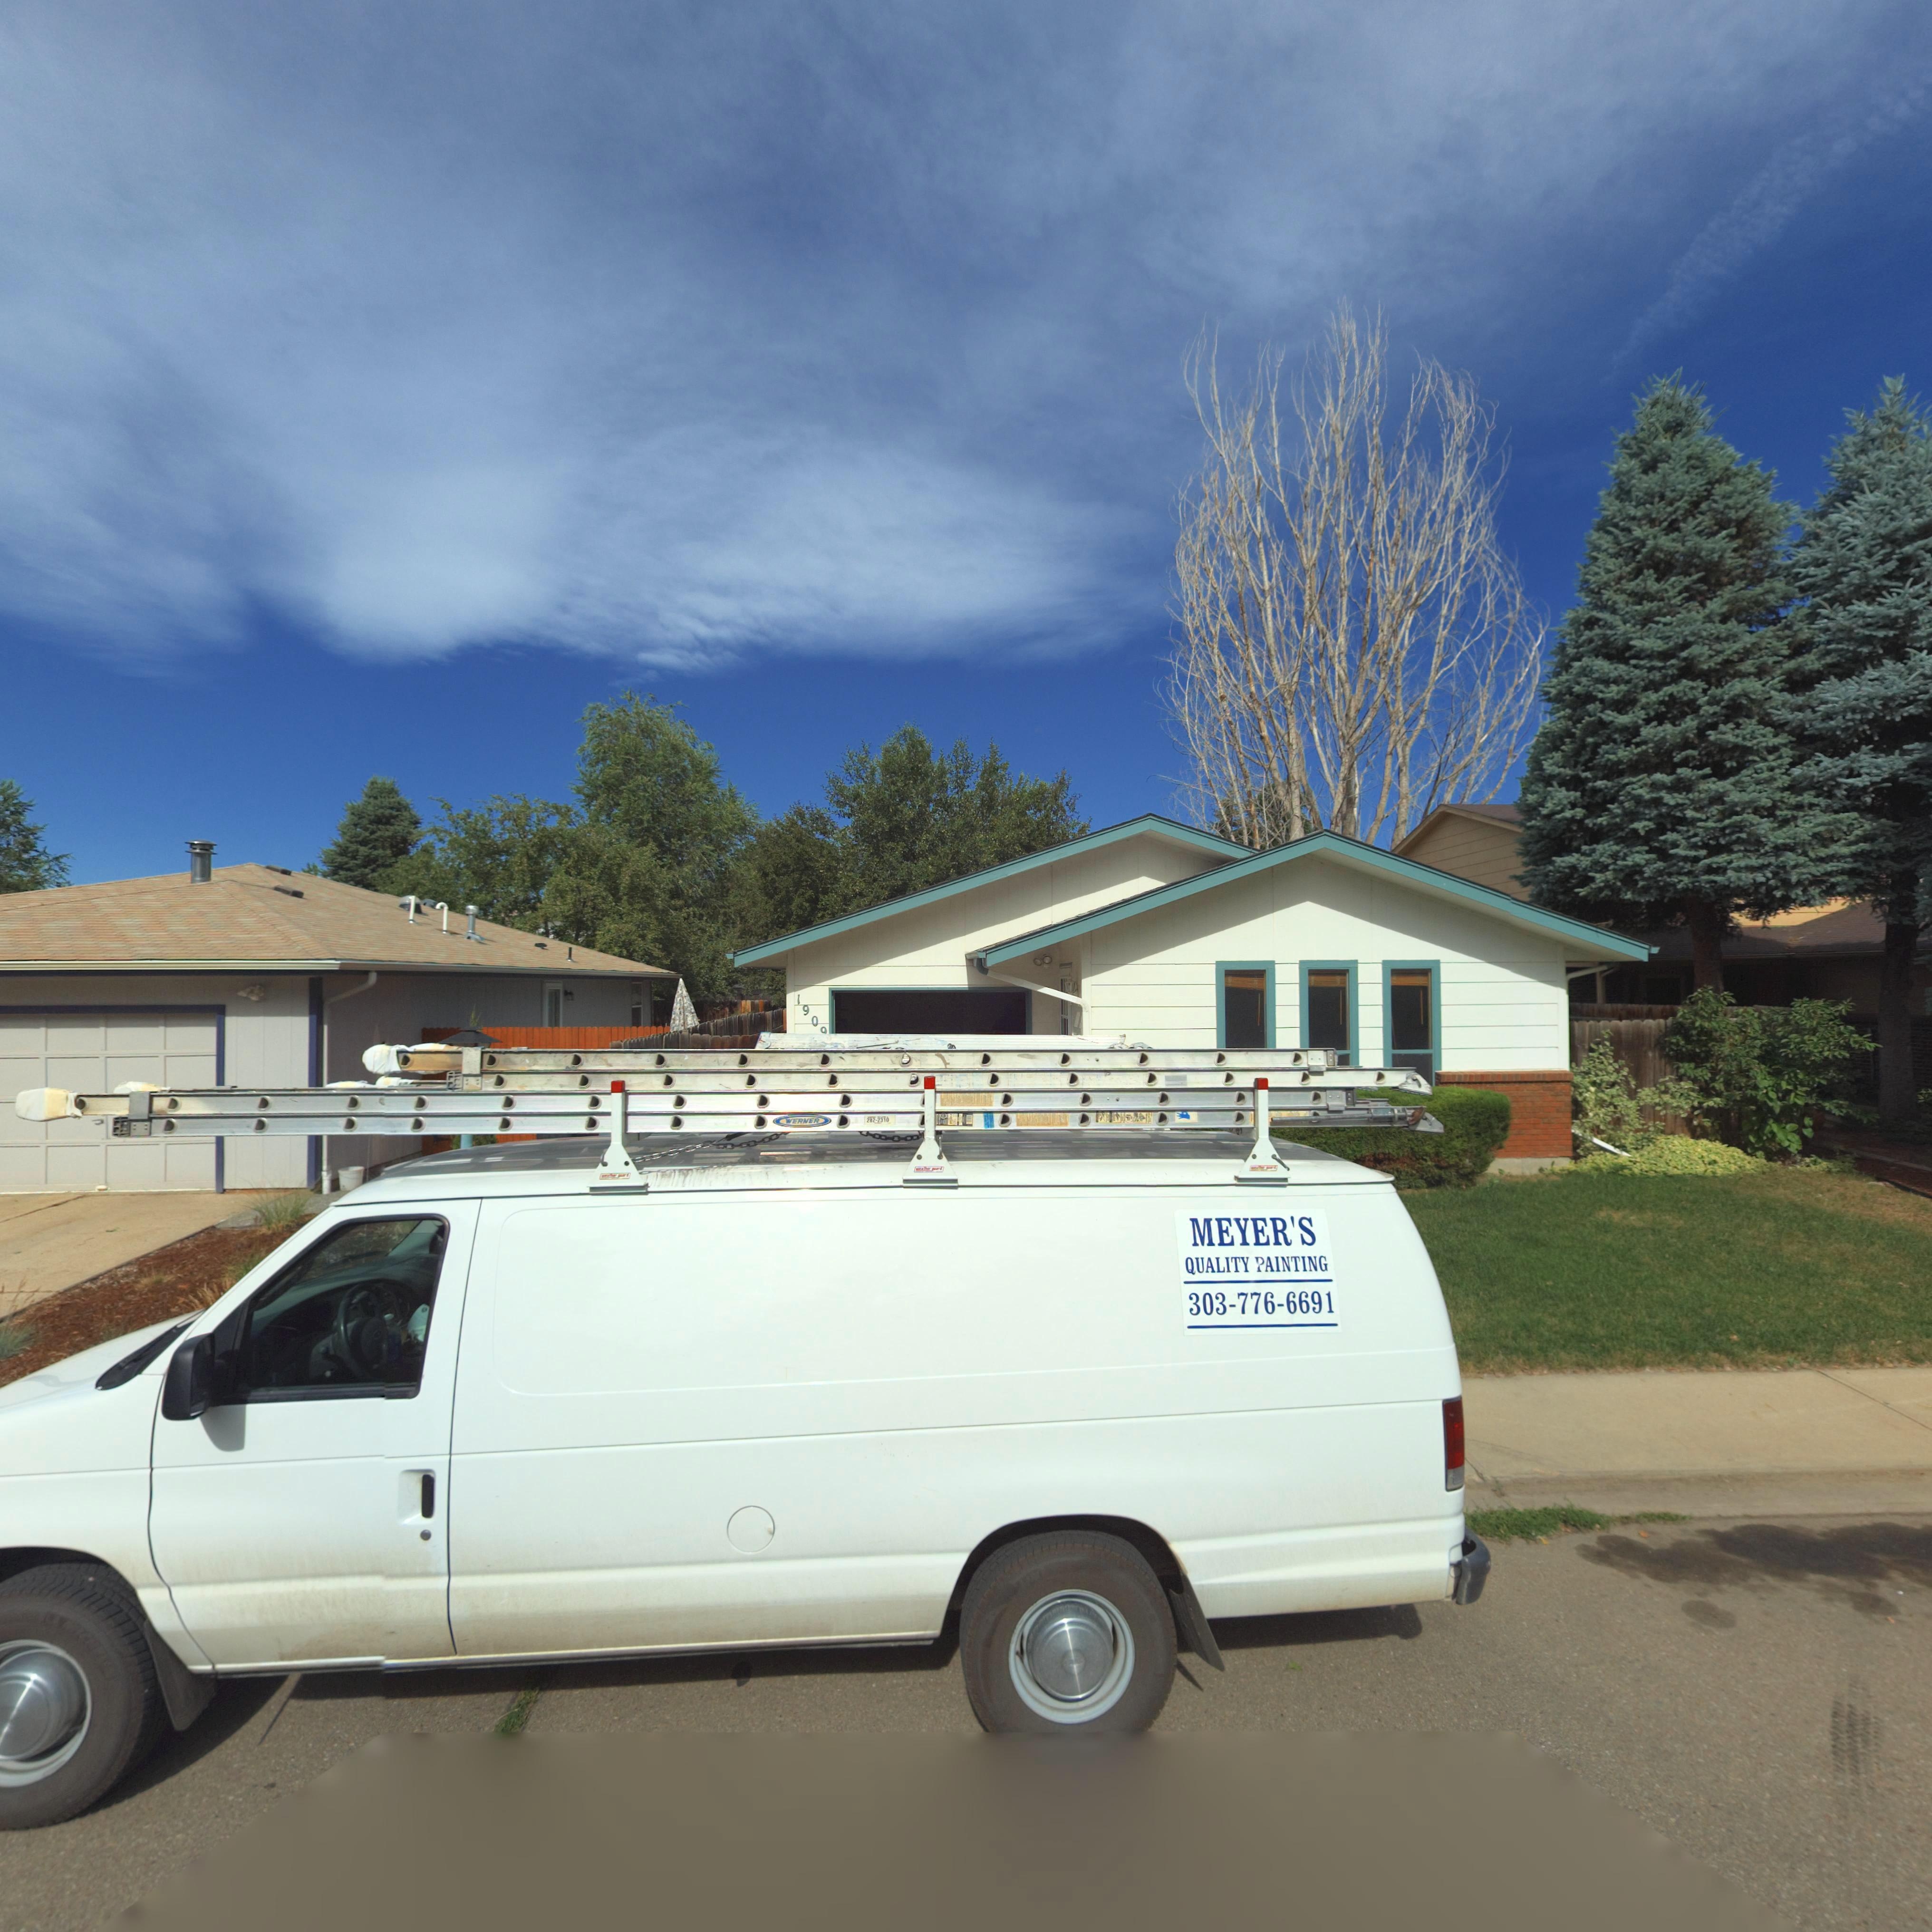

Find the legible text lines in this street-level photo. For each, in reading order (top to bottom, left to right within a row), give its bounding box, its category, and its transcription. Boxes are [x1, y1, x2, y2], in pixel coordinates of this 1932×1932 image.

[796, 993, 819, 1027] StreetNumber: 190